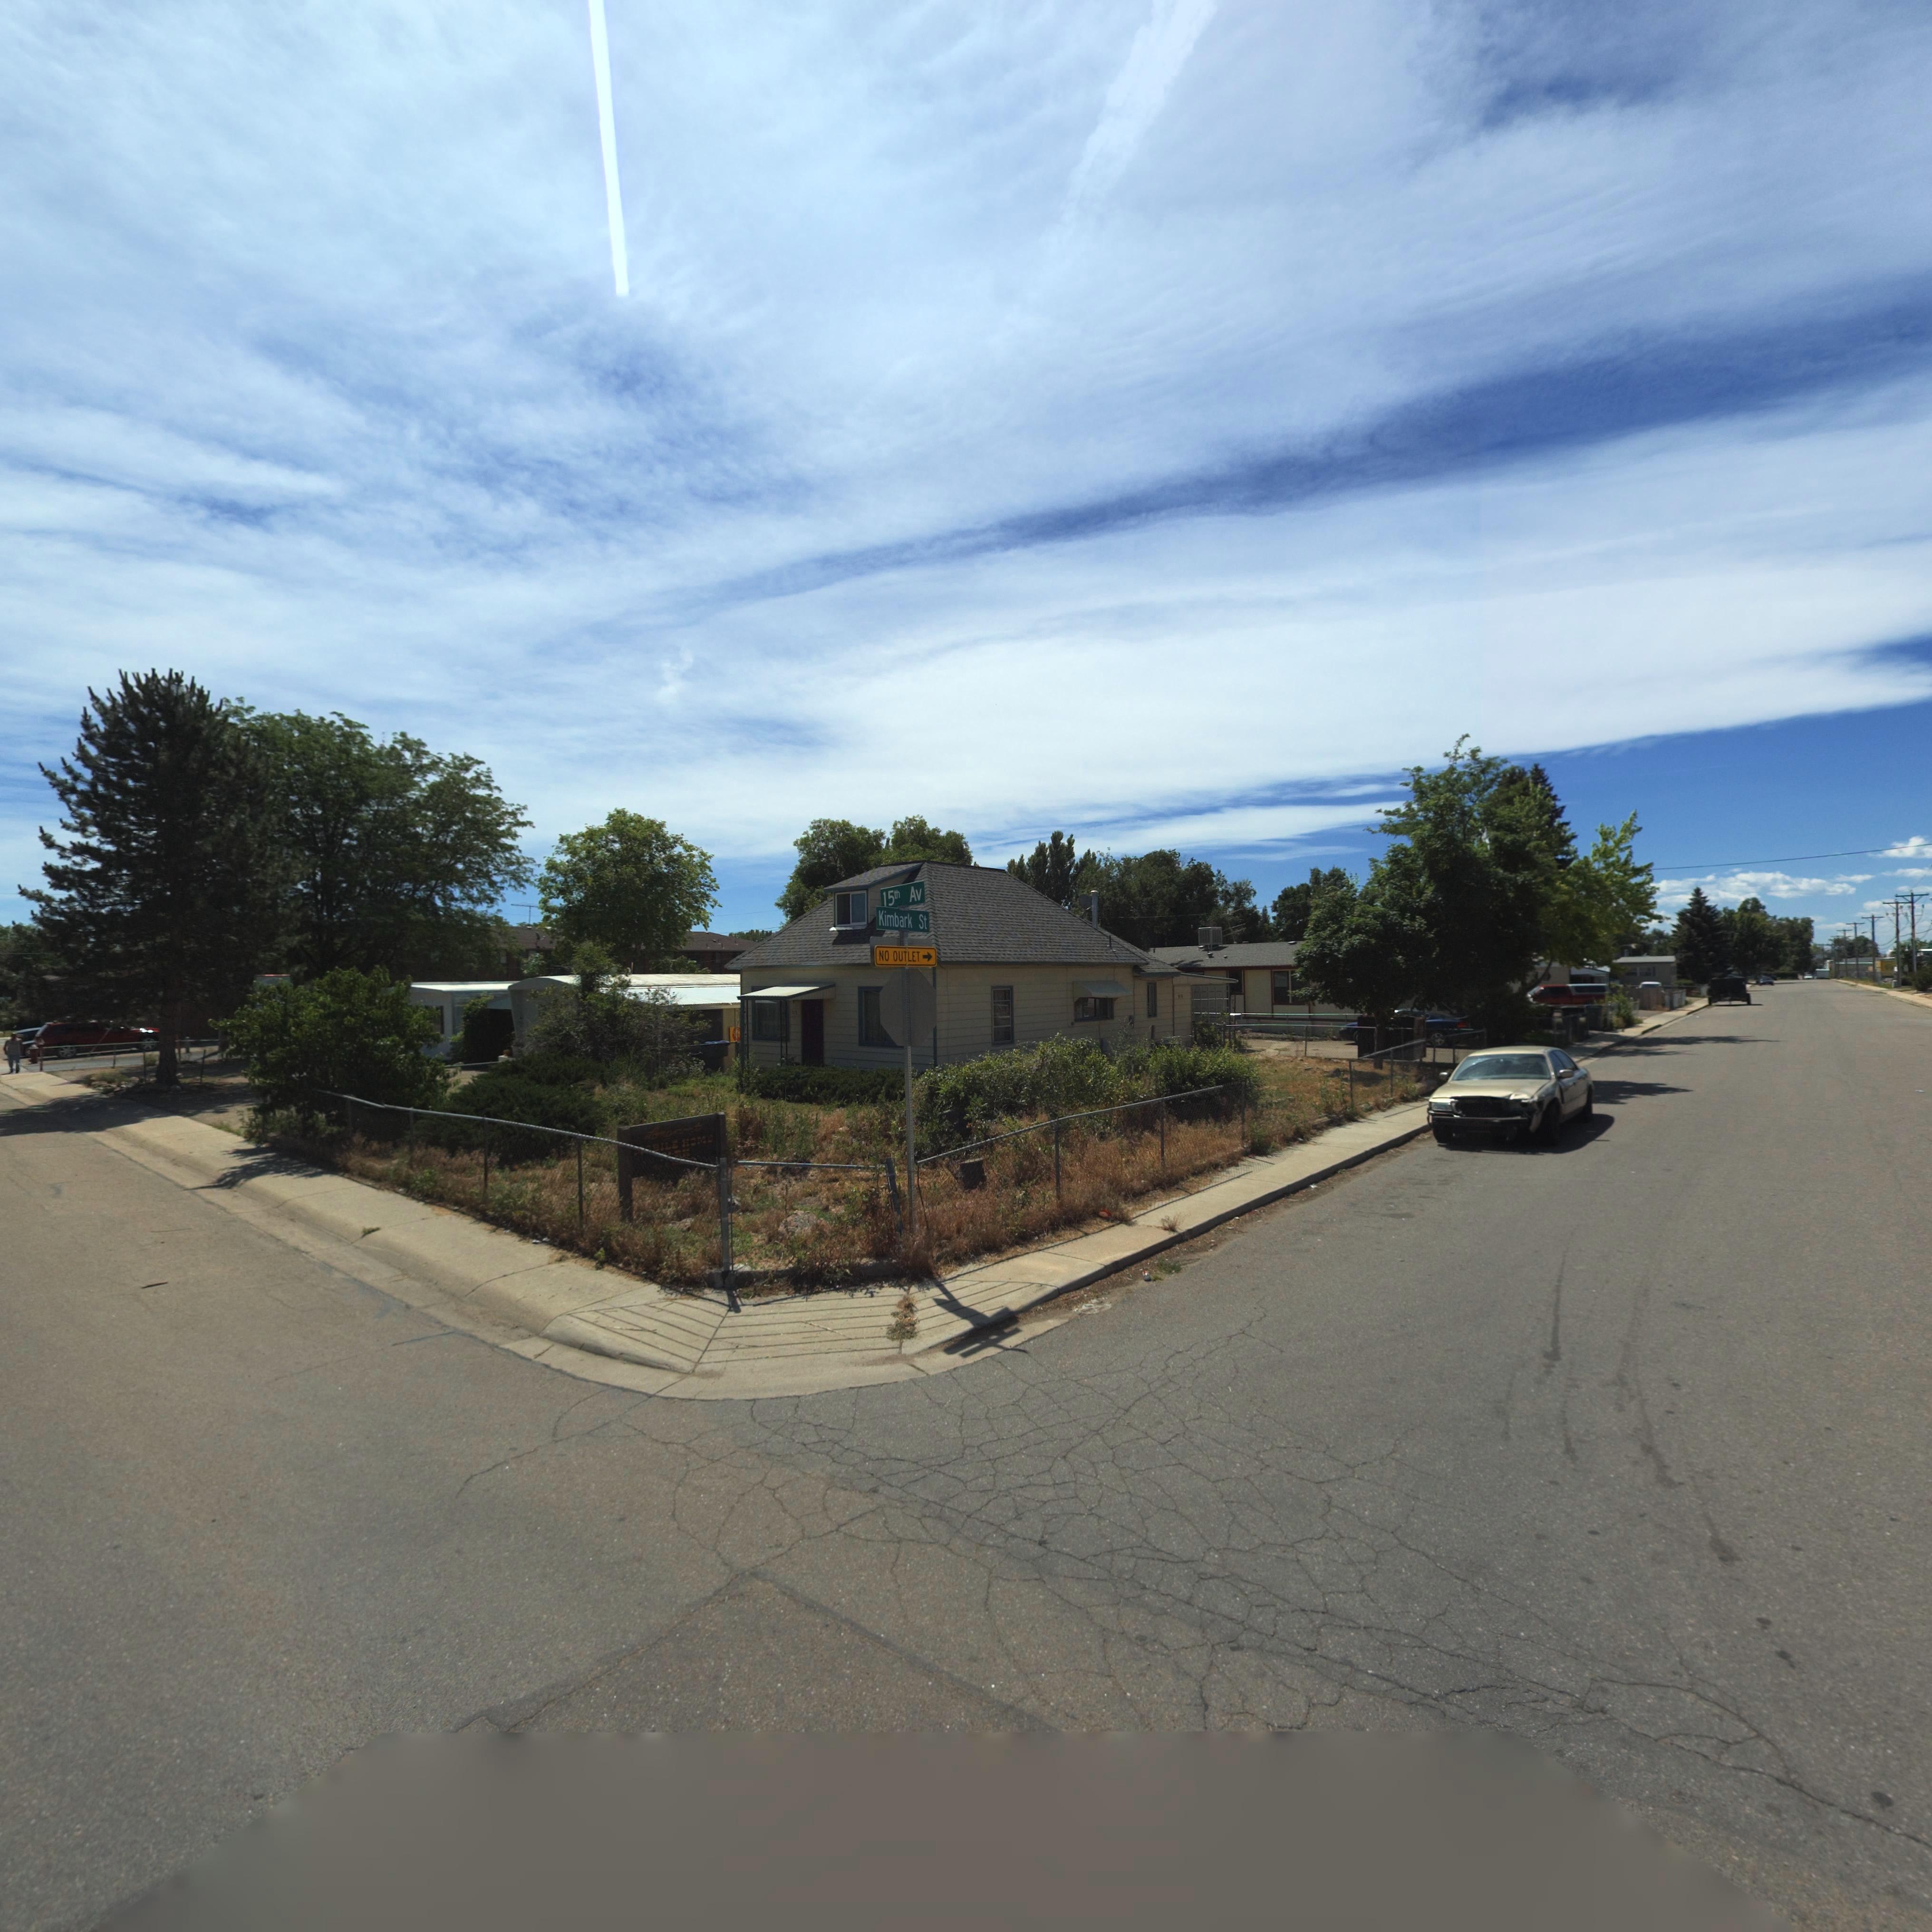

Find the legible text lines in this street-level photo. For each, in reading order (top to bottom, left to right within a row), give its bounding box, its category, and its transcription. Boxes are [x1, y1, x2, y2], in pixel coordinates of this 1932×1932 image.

[882, 883, 923, 908] StreetName: 15th Av
[878, 909, 928, 930] StreetName: Kimbark St